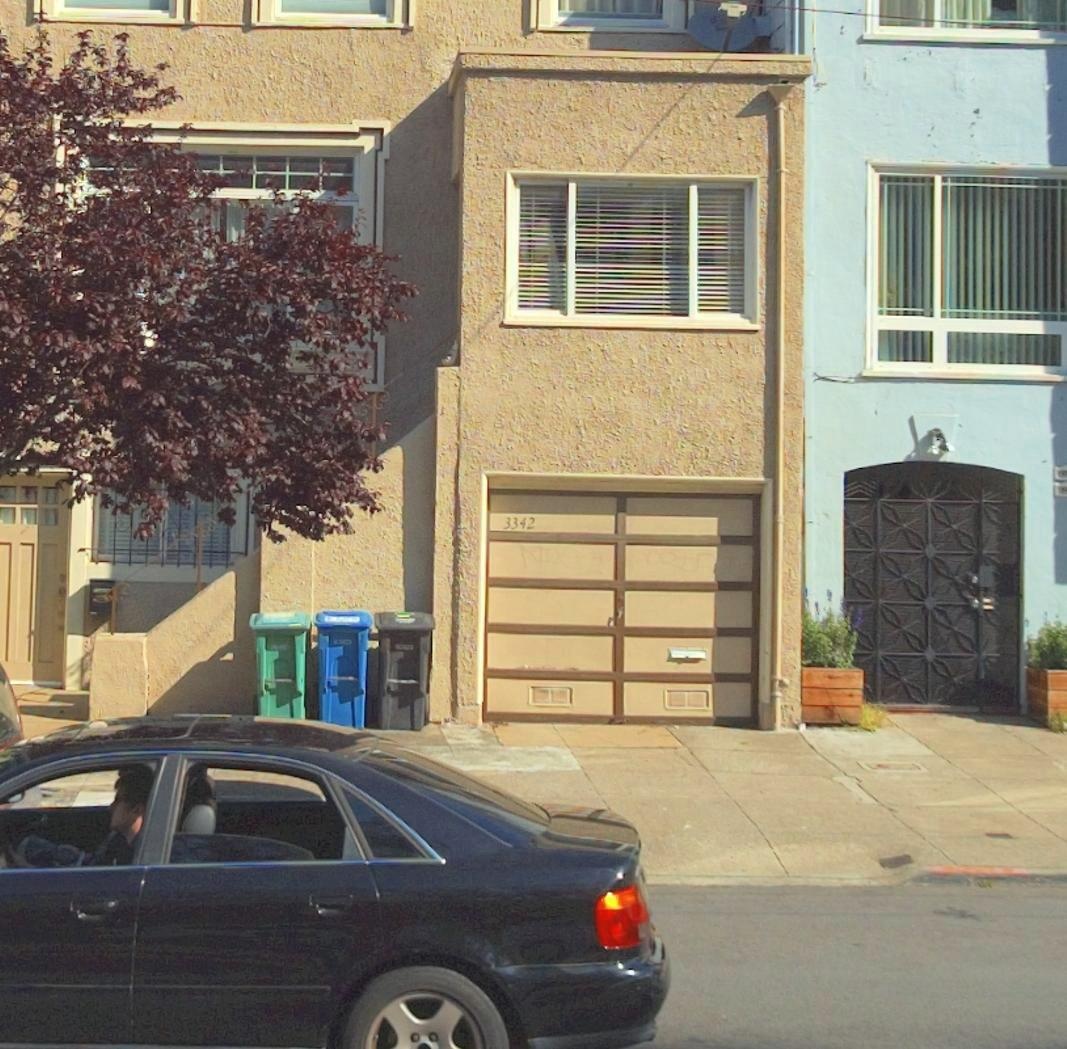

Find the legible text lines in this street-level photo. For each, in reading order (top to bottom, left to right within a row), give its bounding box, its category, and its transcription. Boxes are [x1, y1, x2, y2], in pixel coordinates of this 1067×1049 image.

[503, 514, 537, 532] StreetNumber: 3342